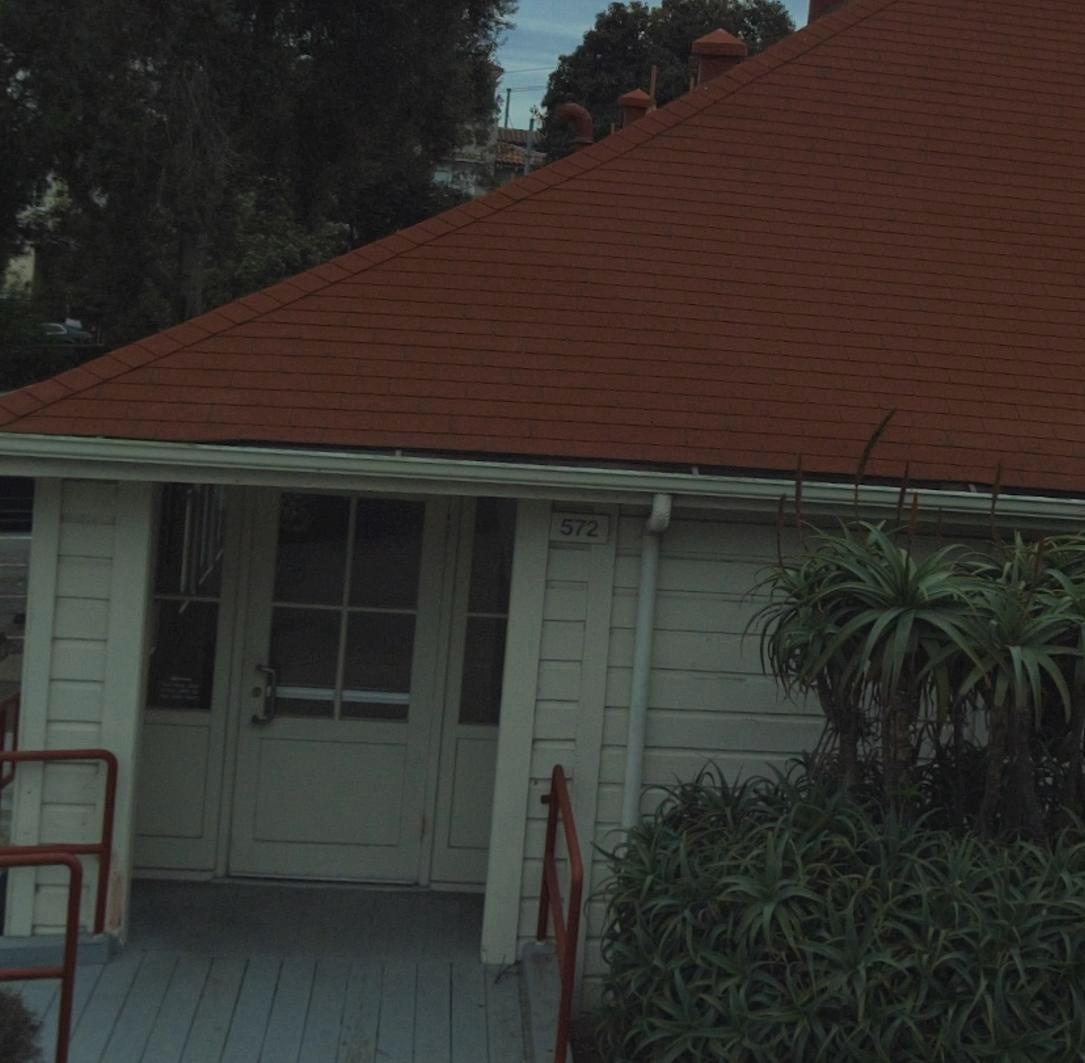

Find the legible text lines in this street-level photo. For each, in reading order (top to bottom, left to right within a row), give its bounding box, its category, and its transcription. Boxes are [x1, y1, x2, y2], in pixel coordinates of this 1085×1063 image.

[560, 517, 599, 538] StreetNumber: 572